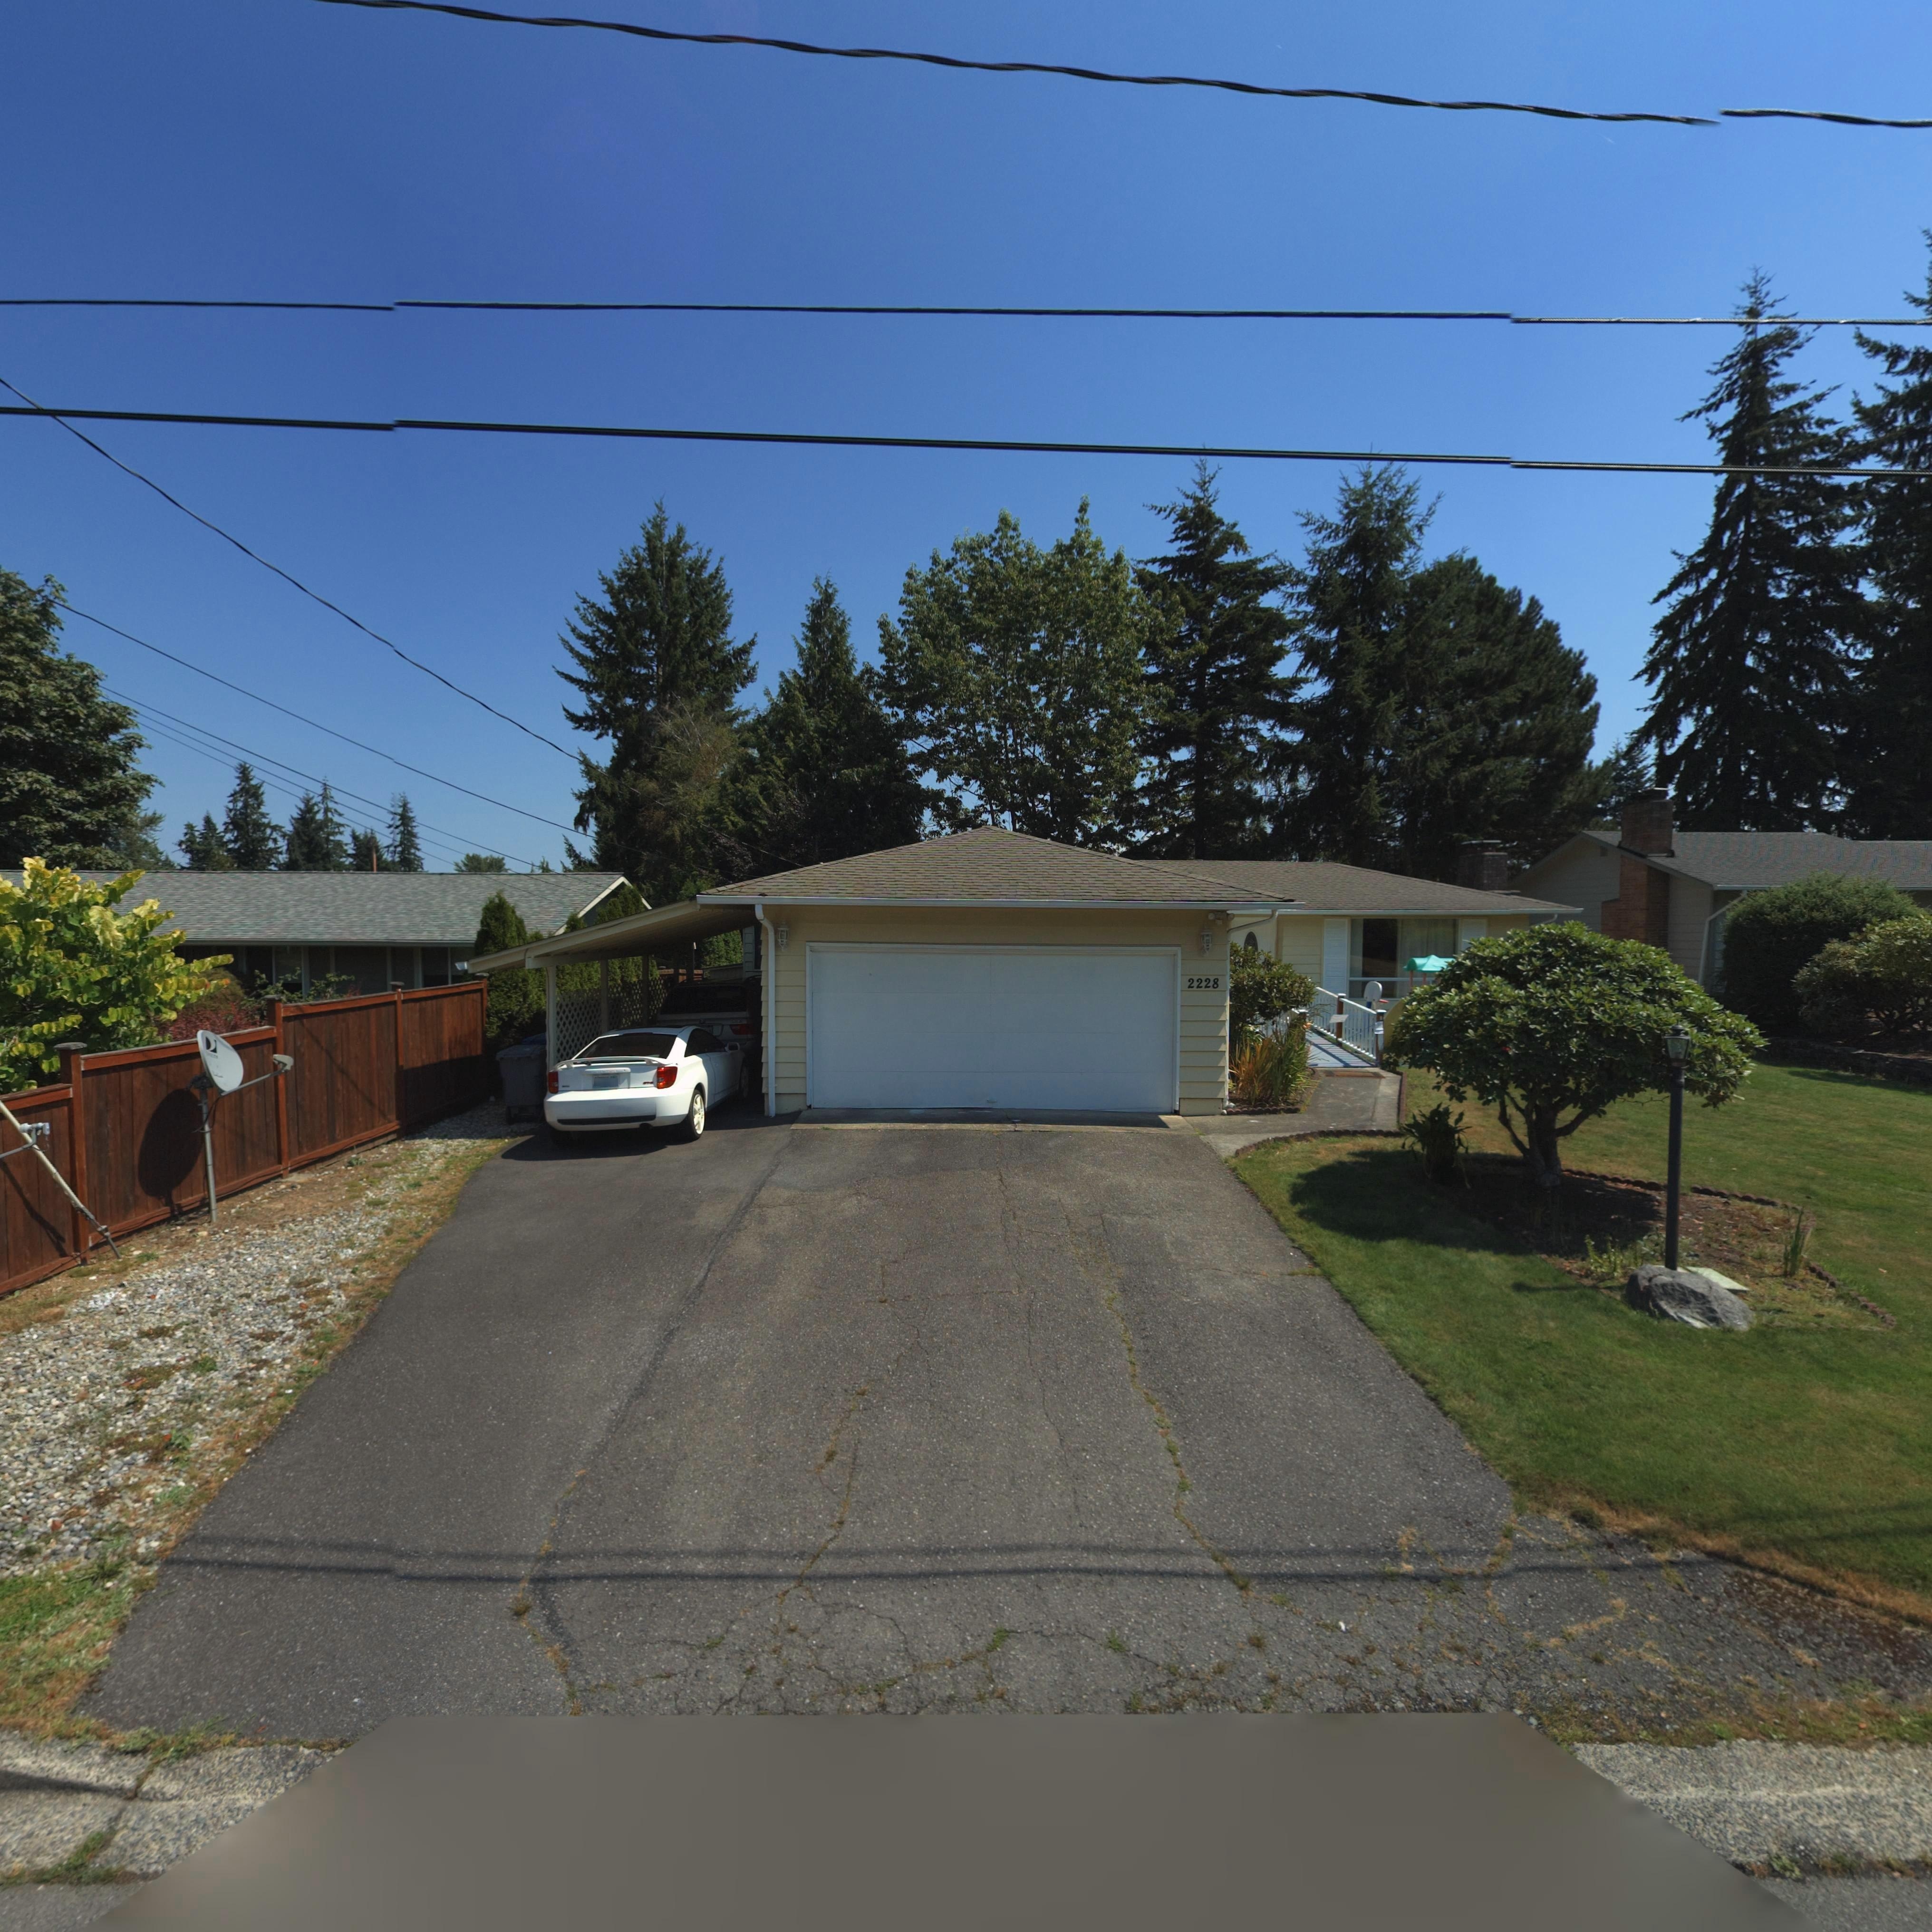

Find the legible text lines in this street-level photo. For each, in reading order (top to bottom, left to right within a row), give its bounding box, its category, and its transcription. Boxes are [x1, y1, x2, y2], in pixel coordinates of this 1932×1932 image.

[1188, 978, 1218, 988] StreetNumber: 2228